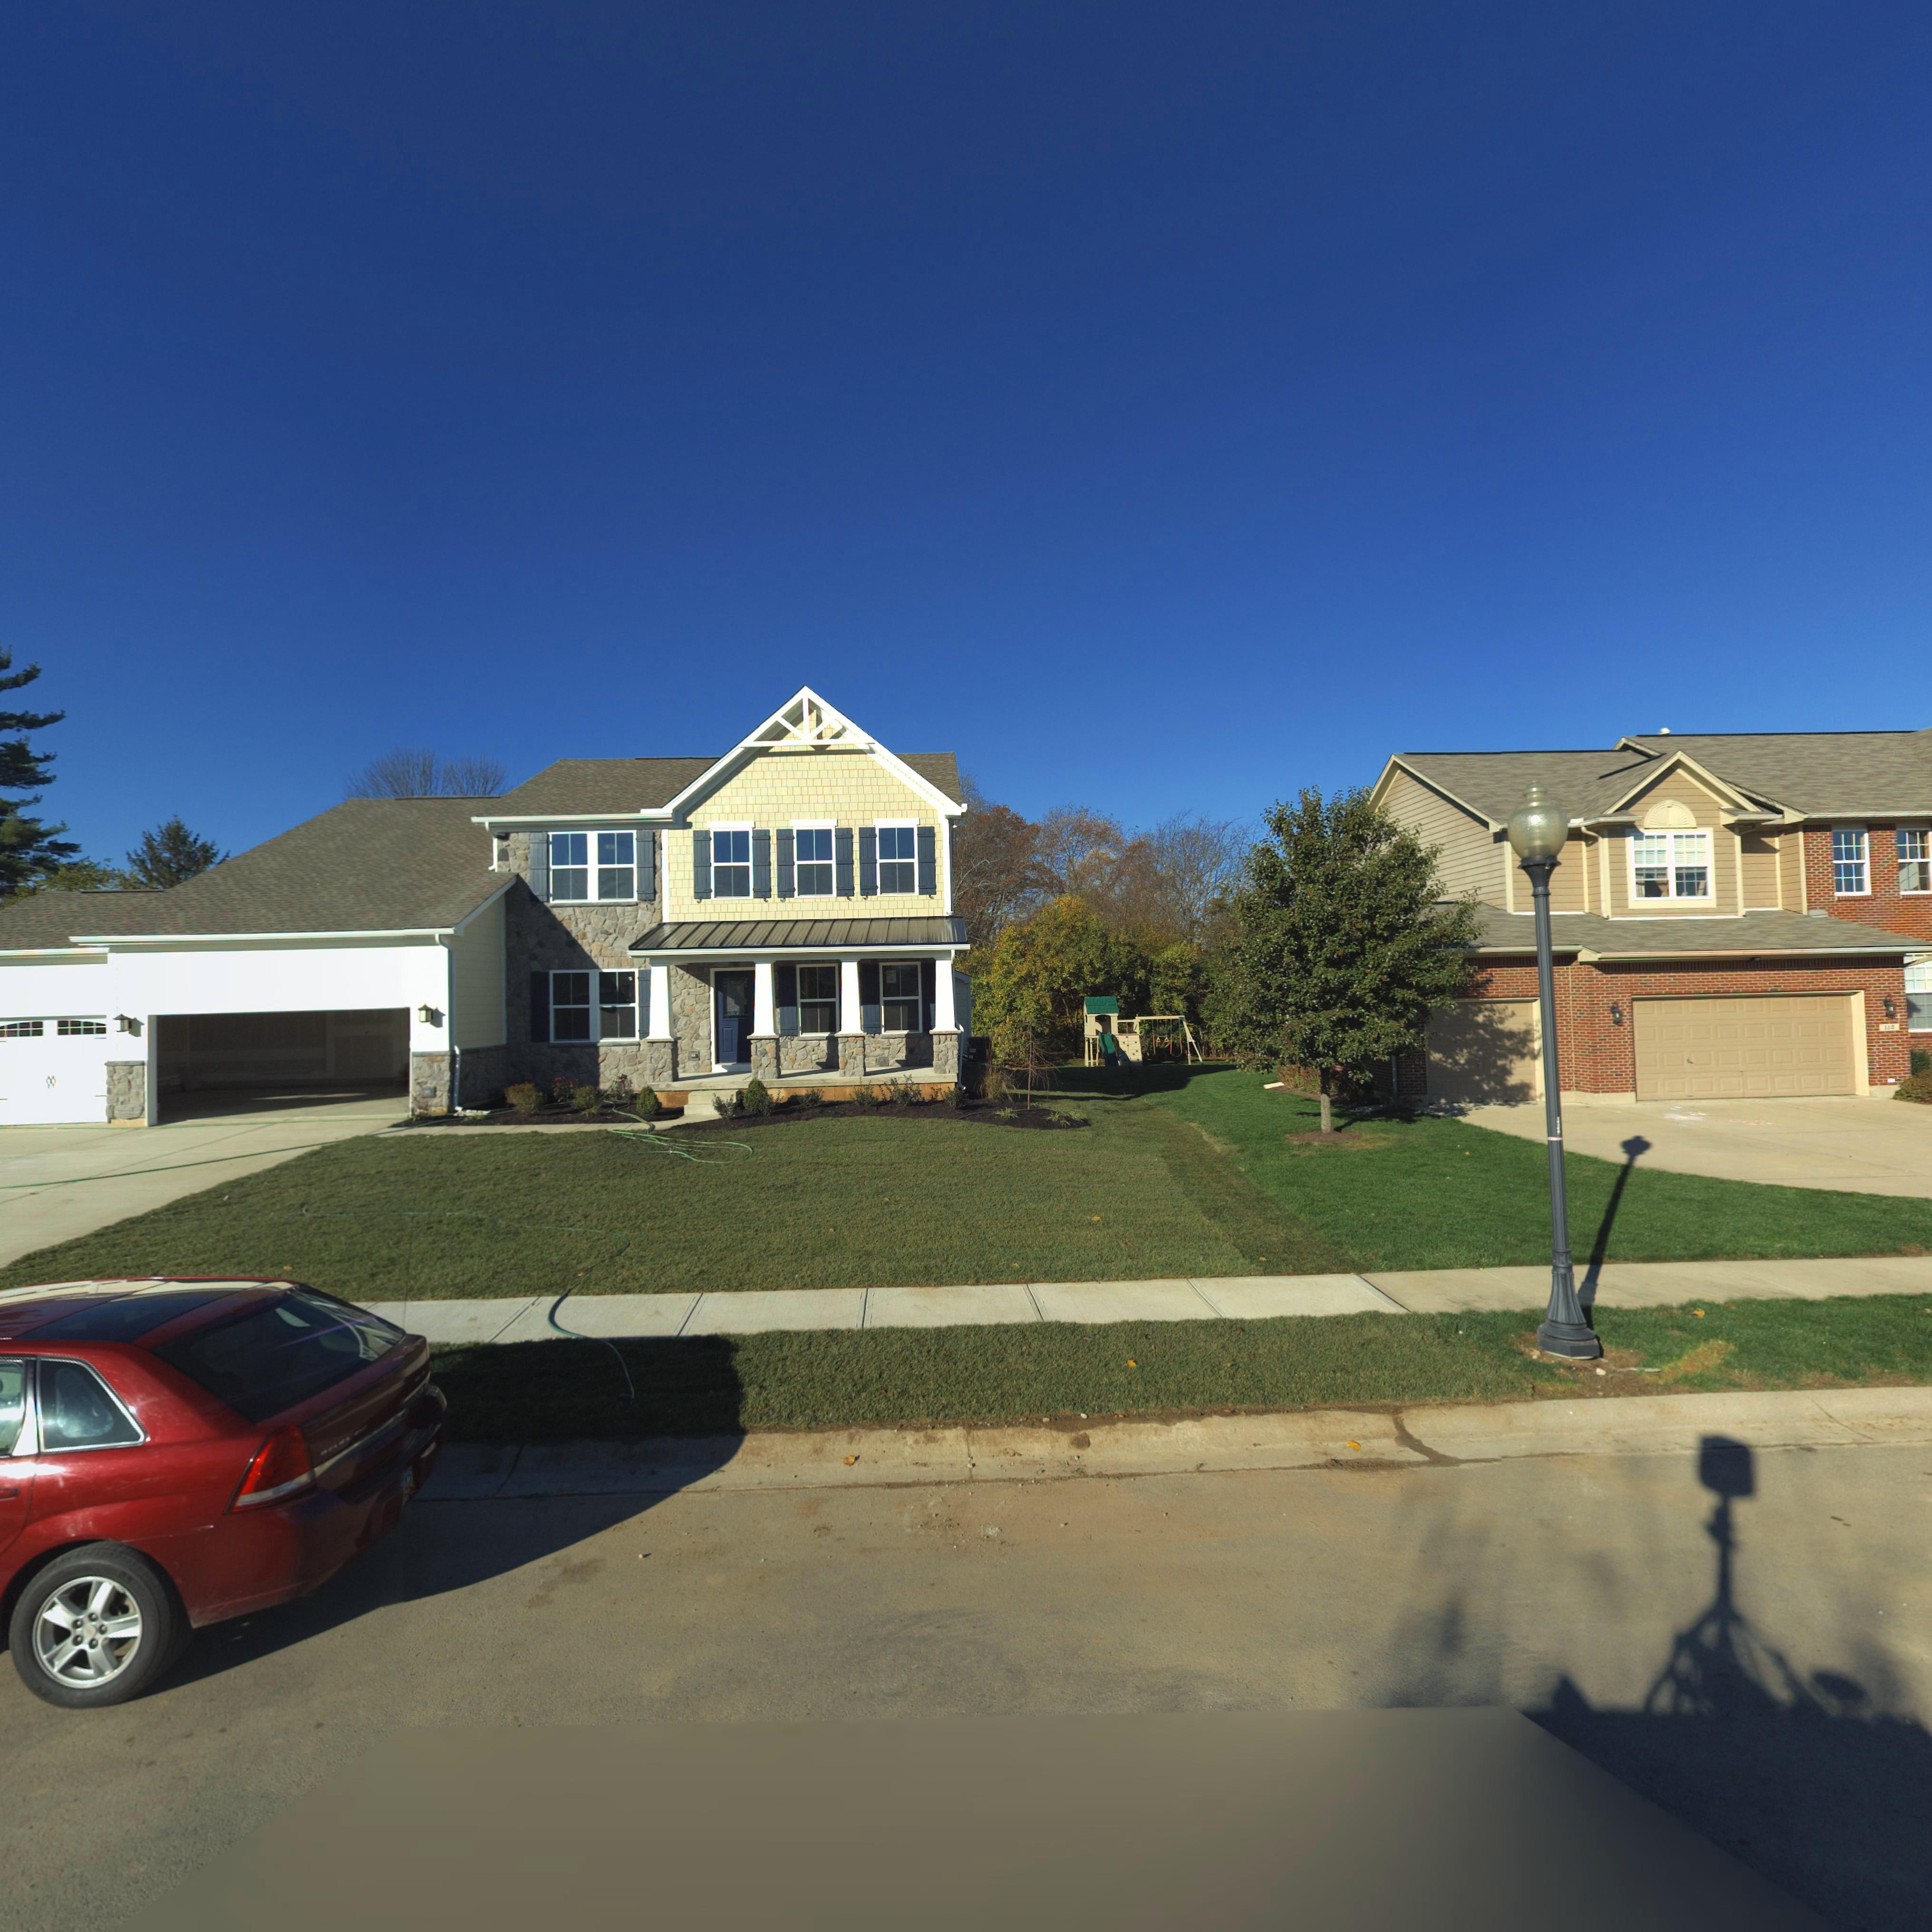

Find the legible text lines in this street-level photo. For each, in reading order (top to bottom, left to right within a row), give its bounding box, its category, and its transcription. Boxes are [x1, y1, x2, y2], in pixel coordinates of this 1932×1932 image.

[1883, 1024, 1895, 1031] StreetNumber: 113